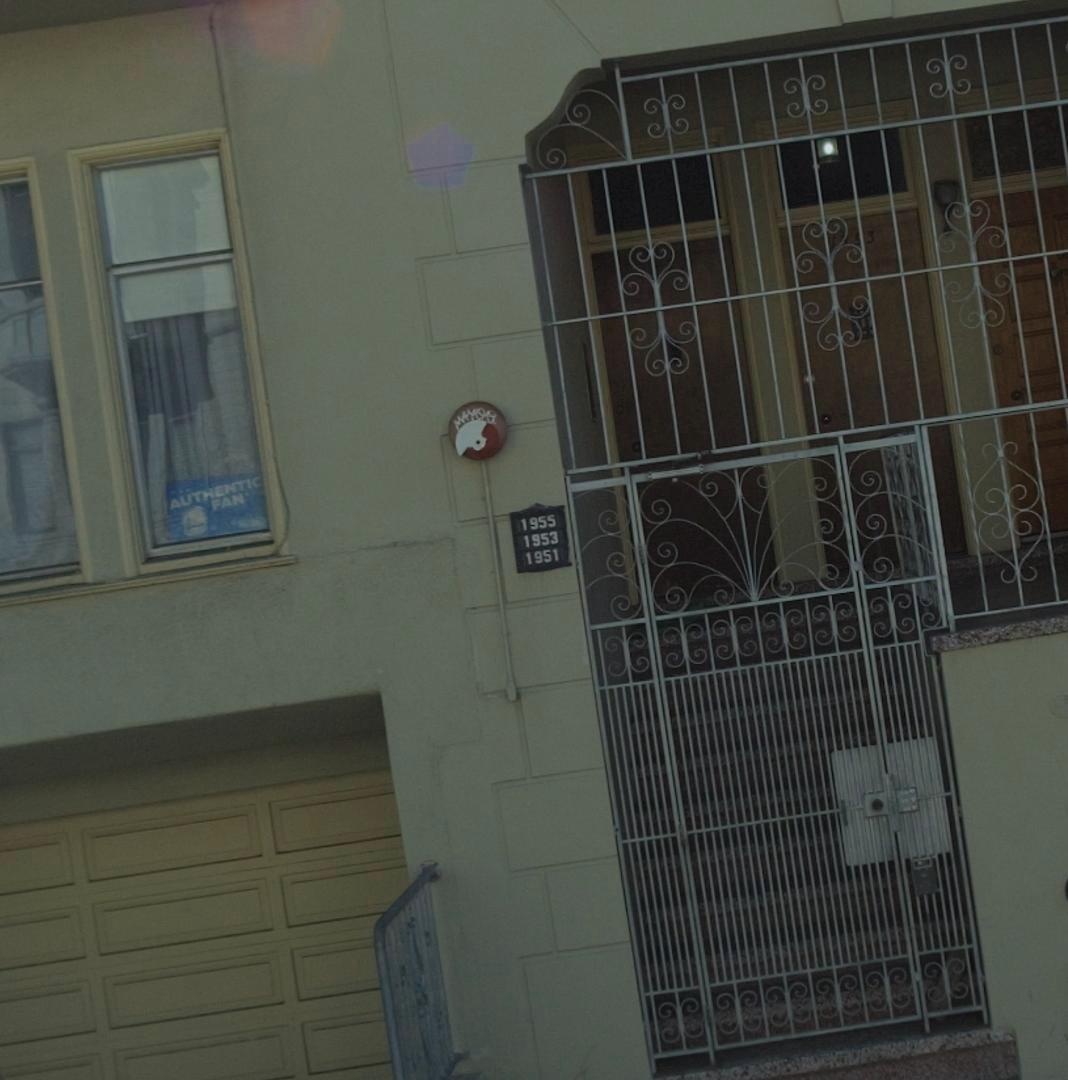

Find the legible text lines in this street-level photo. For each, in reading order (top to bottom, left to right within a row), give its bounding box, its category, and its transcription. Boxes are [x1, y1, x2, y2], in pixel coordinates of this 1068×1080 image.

[865, 229, 876, 245] StreetNumber: 3
[169, 473, 264, 511] None: AUTHENTIC
[210, 491, 246, 512] None: FAN
[518, 512, 558, 532] StreetNumber: 1955
[521, 528, 561, 550] StreetNumber: 1953
[523, 546, 562, 567] StreetNumber: 1951